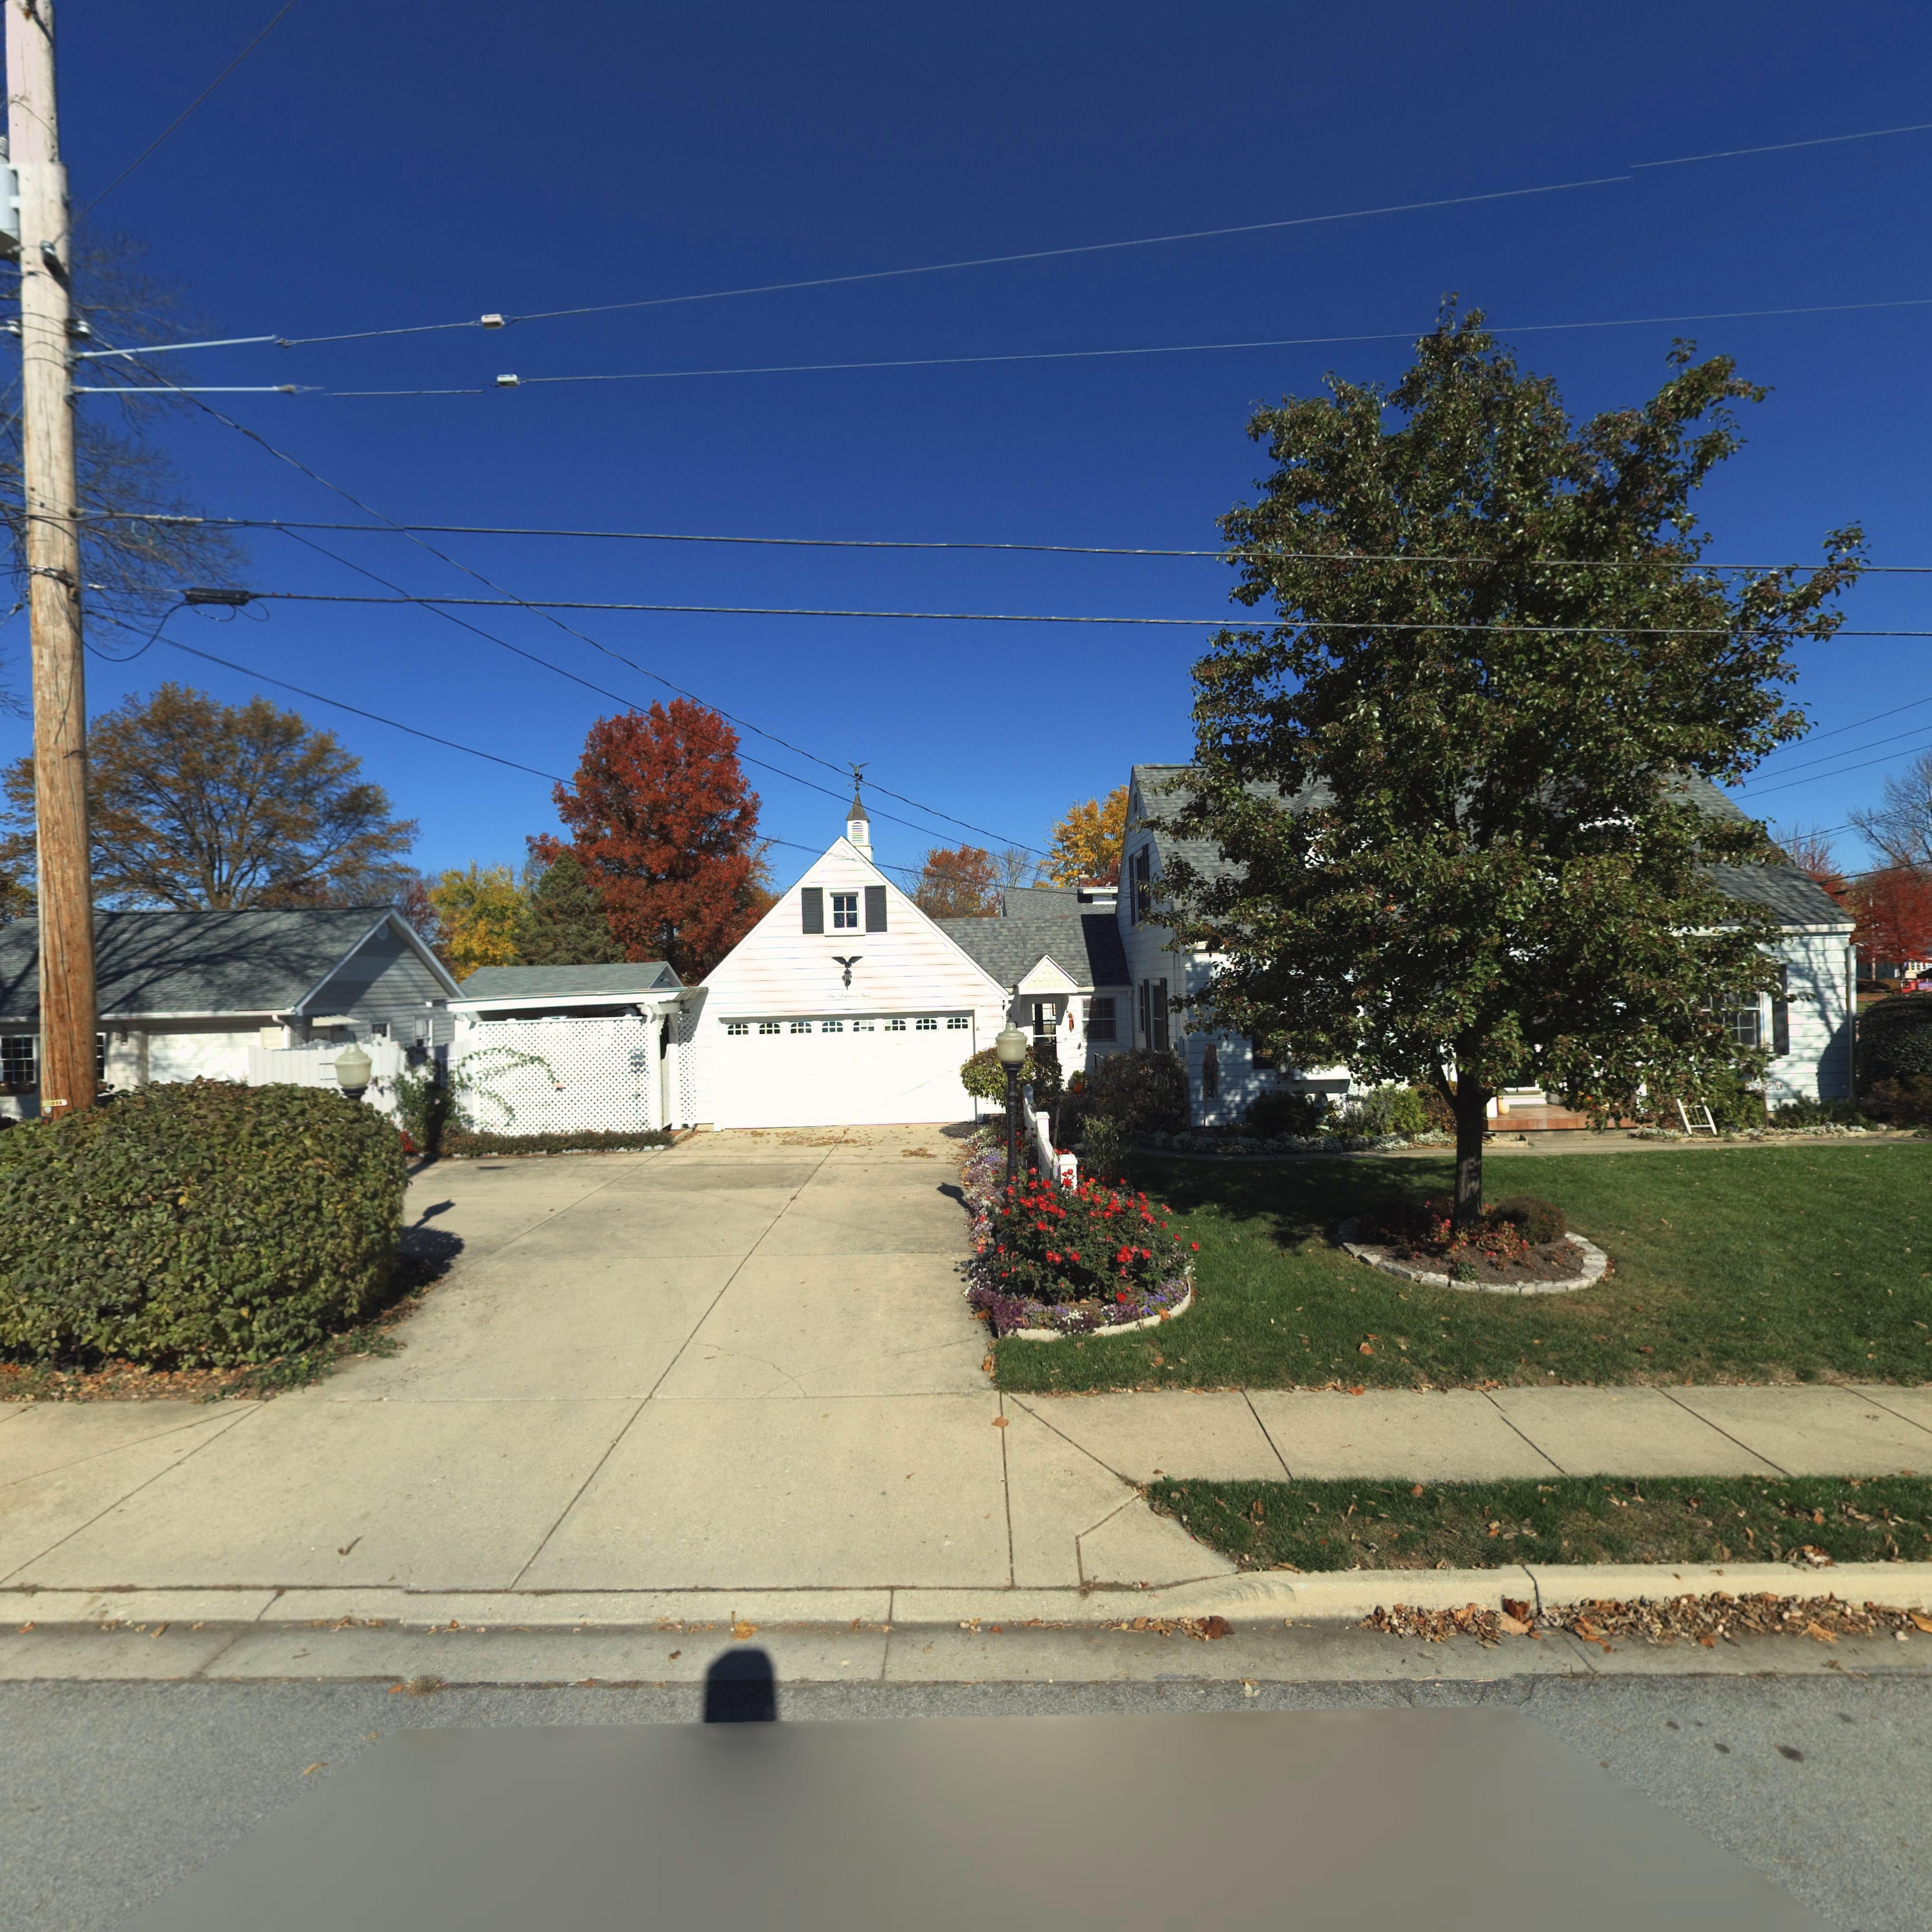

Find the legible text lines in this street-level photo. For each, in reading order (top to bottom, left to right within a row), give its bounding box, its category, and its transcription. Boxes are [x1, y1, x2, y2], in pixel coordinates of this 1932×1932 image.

[827, 993, 837, 999] StreetNumber: One